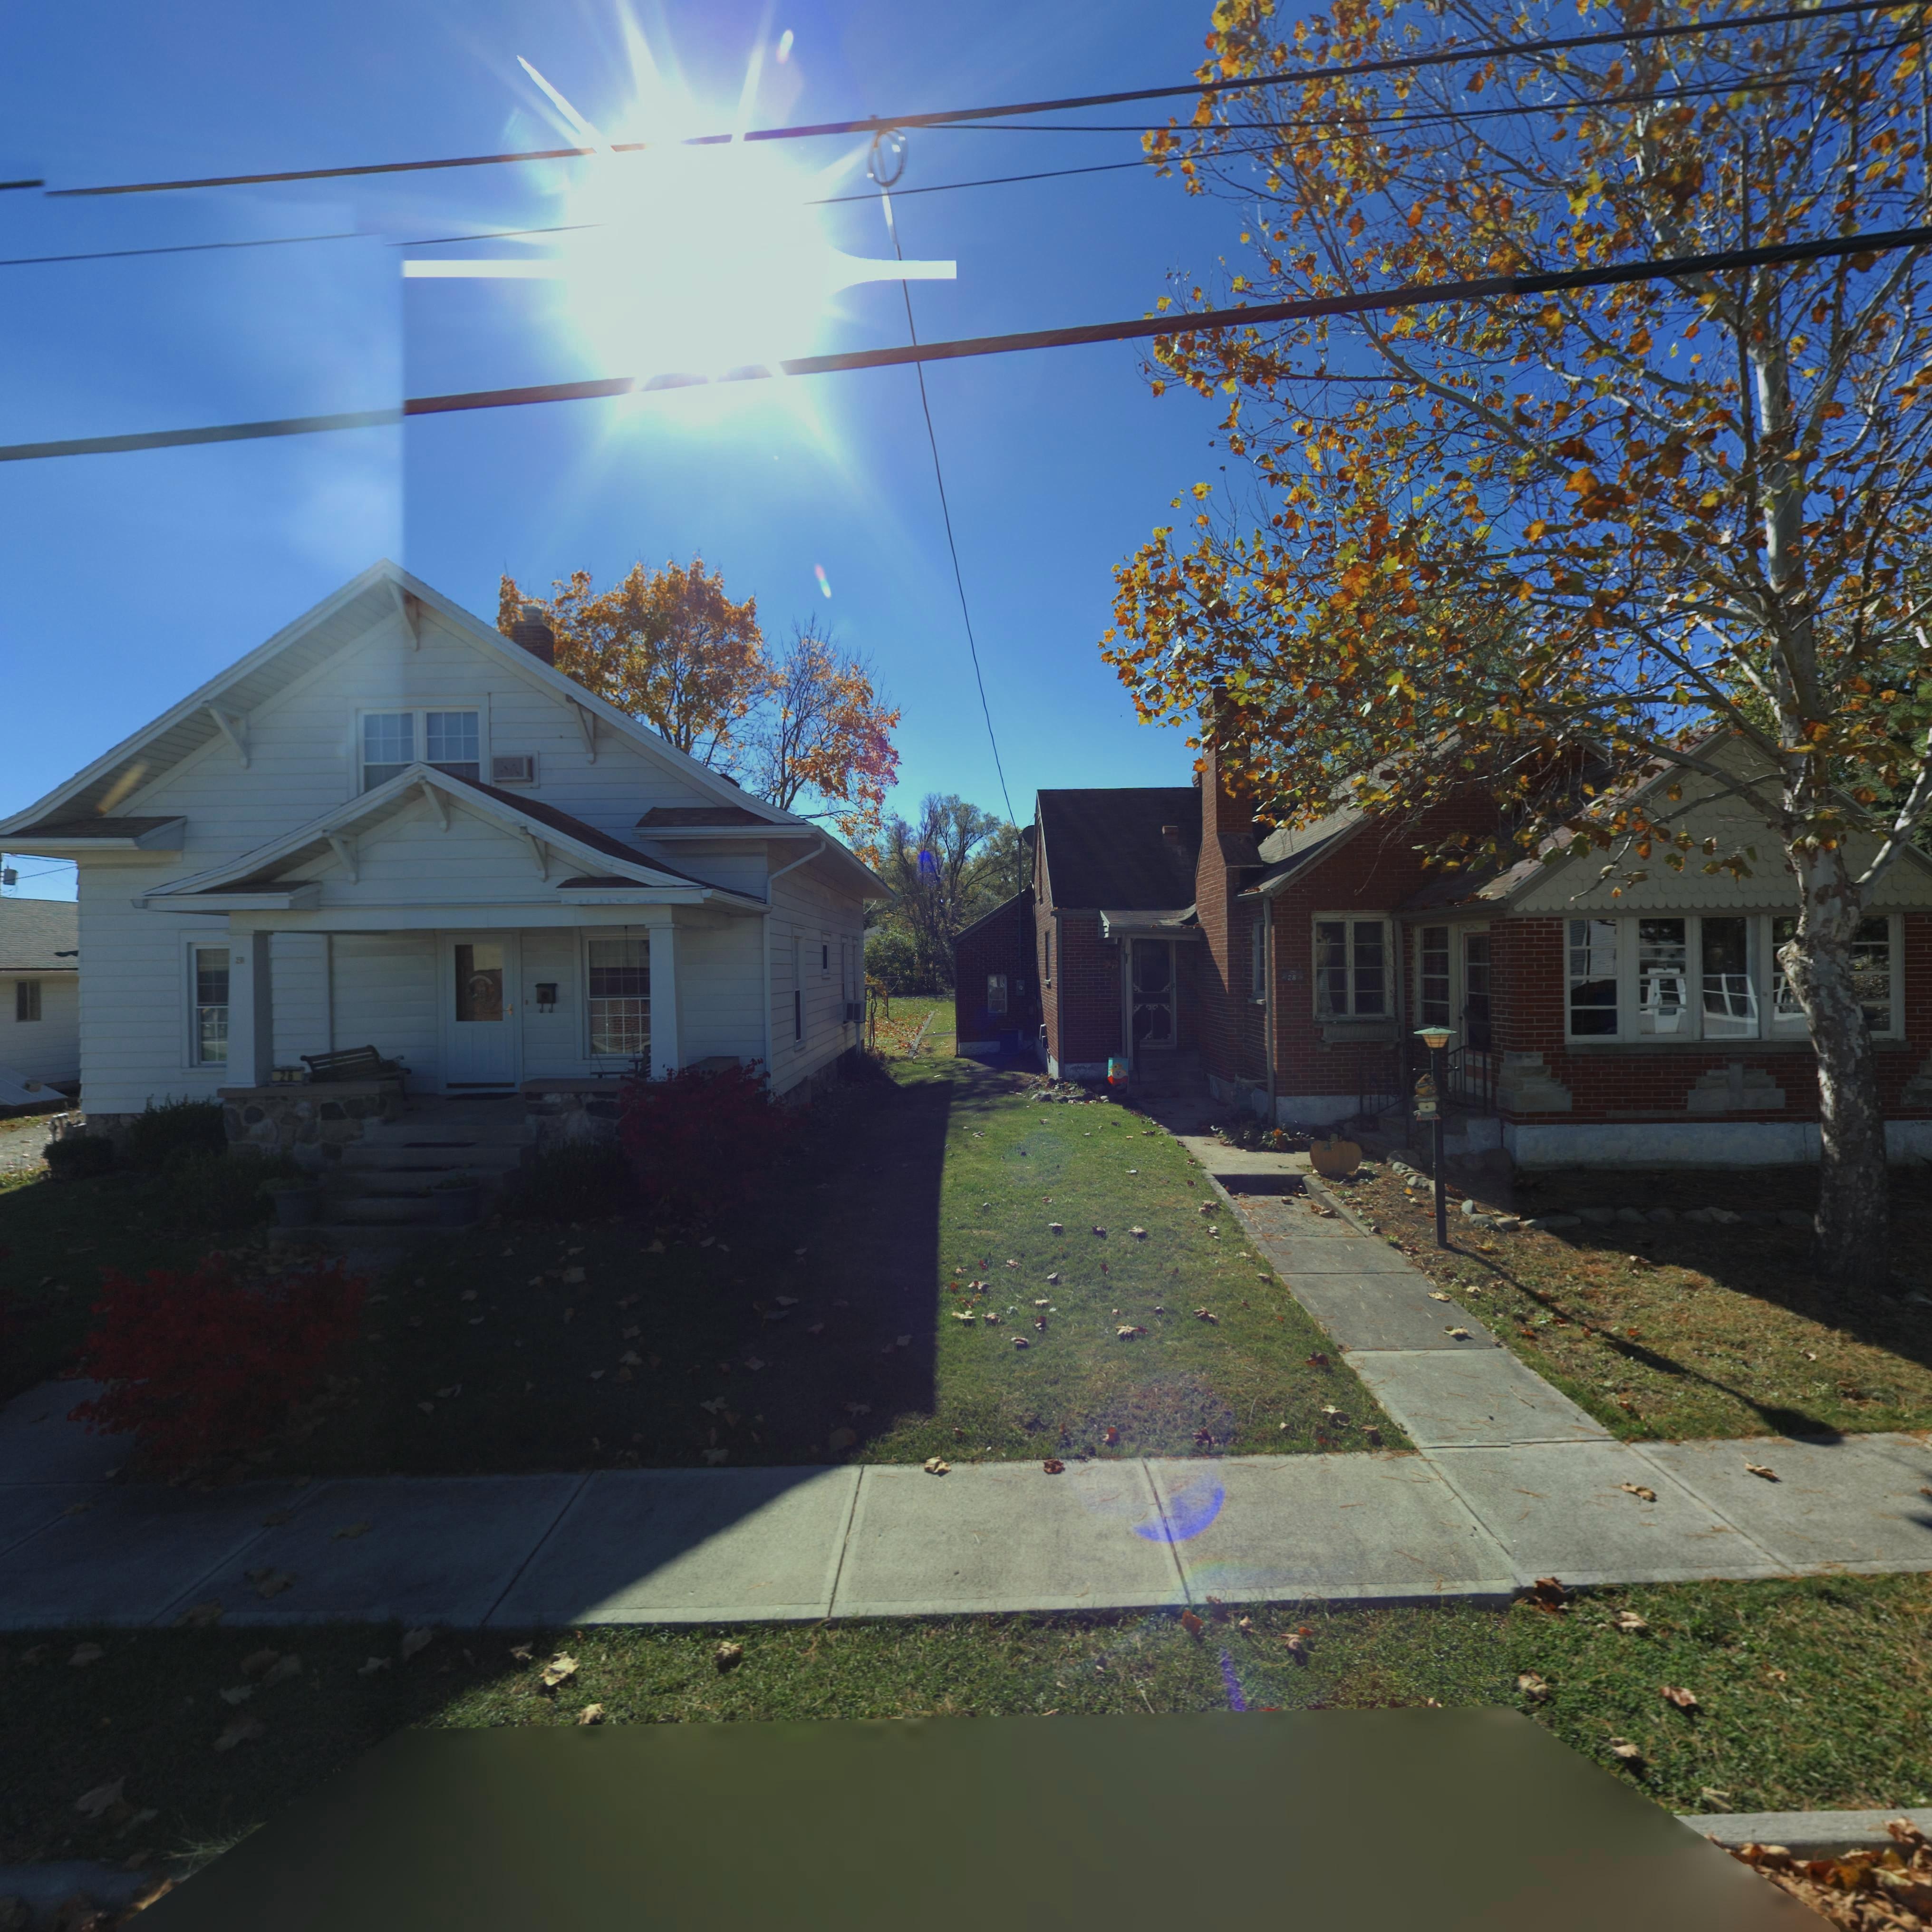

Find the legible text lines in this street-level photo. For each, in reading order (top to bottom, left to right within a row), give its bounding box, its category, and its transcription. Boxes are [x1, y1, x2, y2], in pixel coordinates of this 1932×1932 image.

[235, 957, 244, 964] StreetNumber: 2*
[1287, 975, 1296, 981] StreetNumber: 28